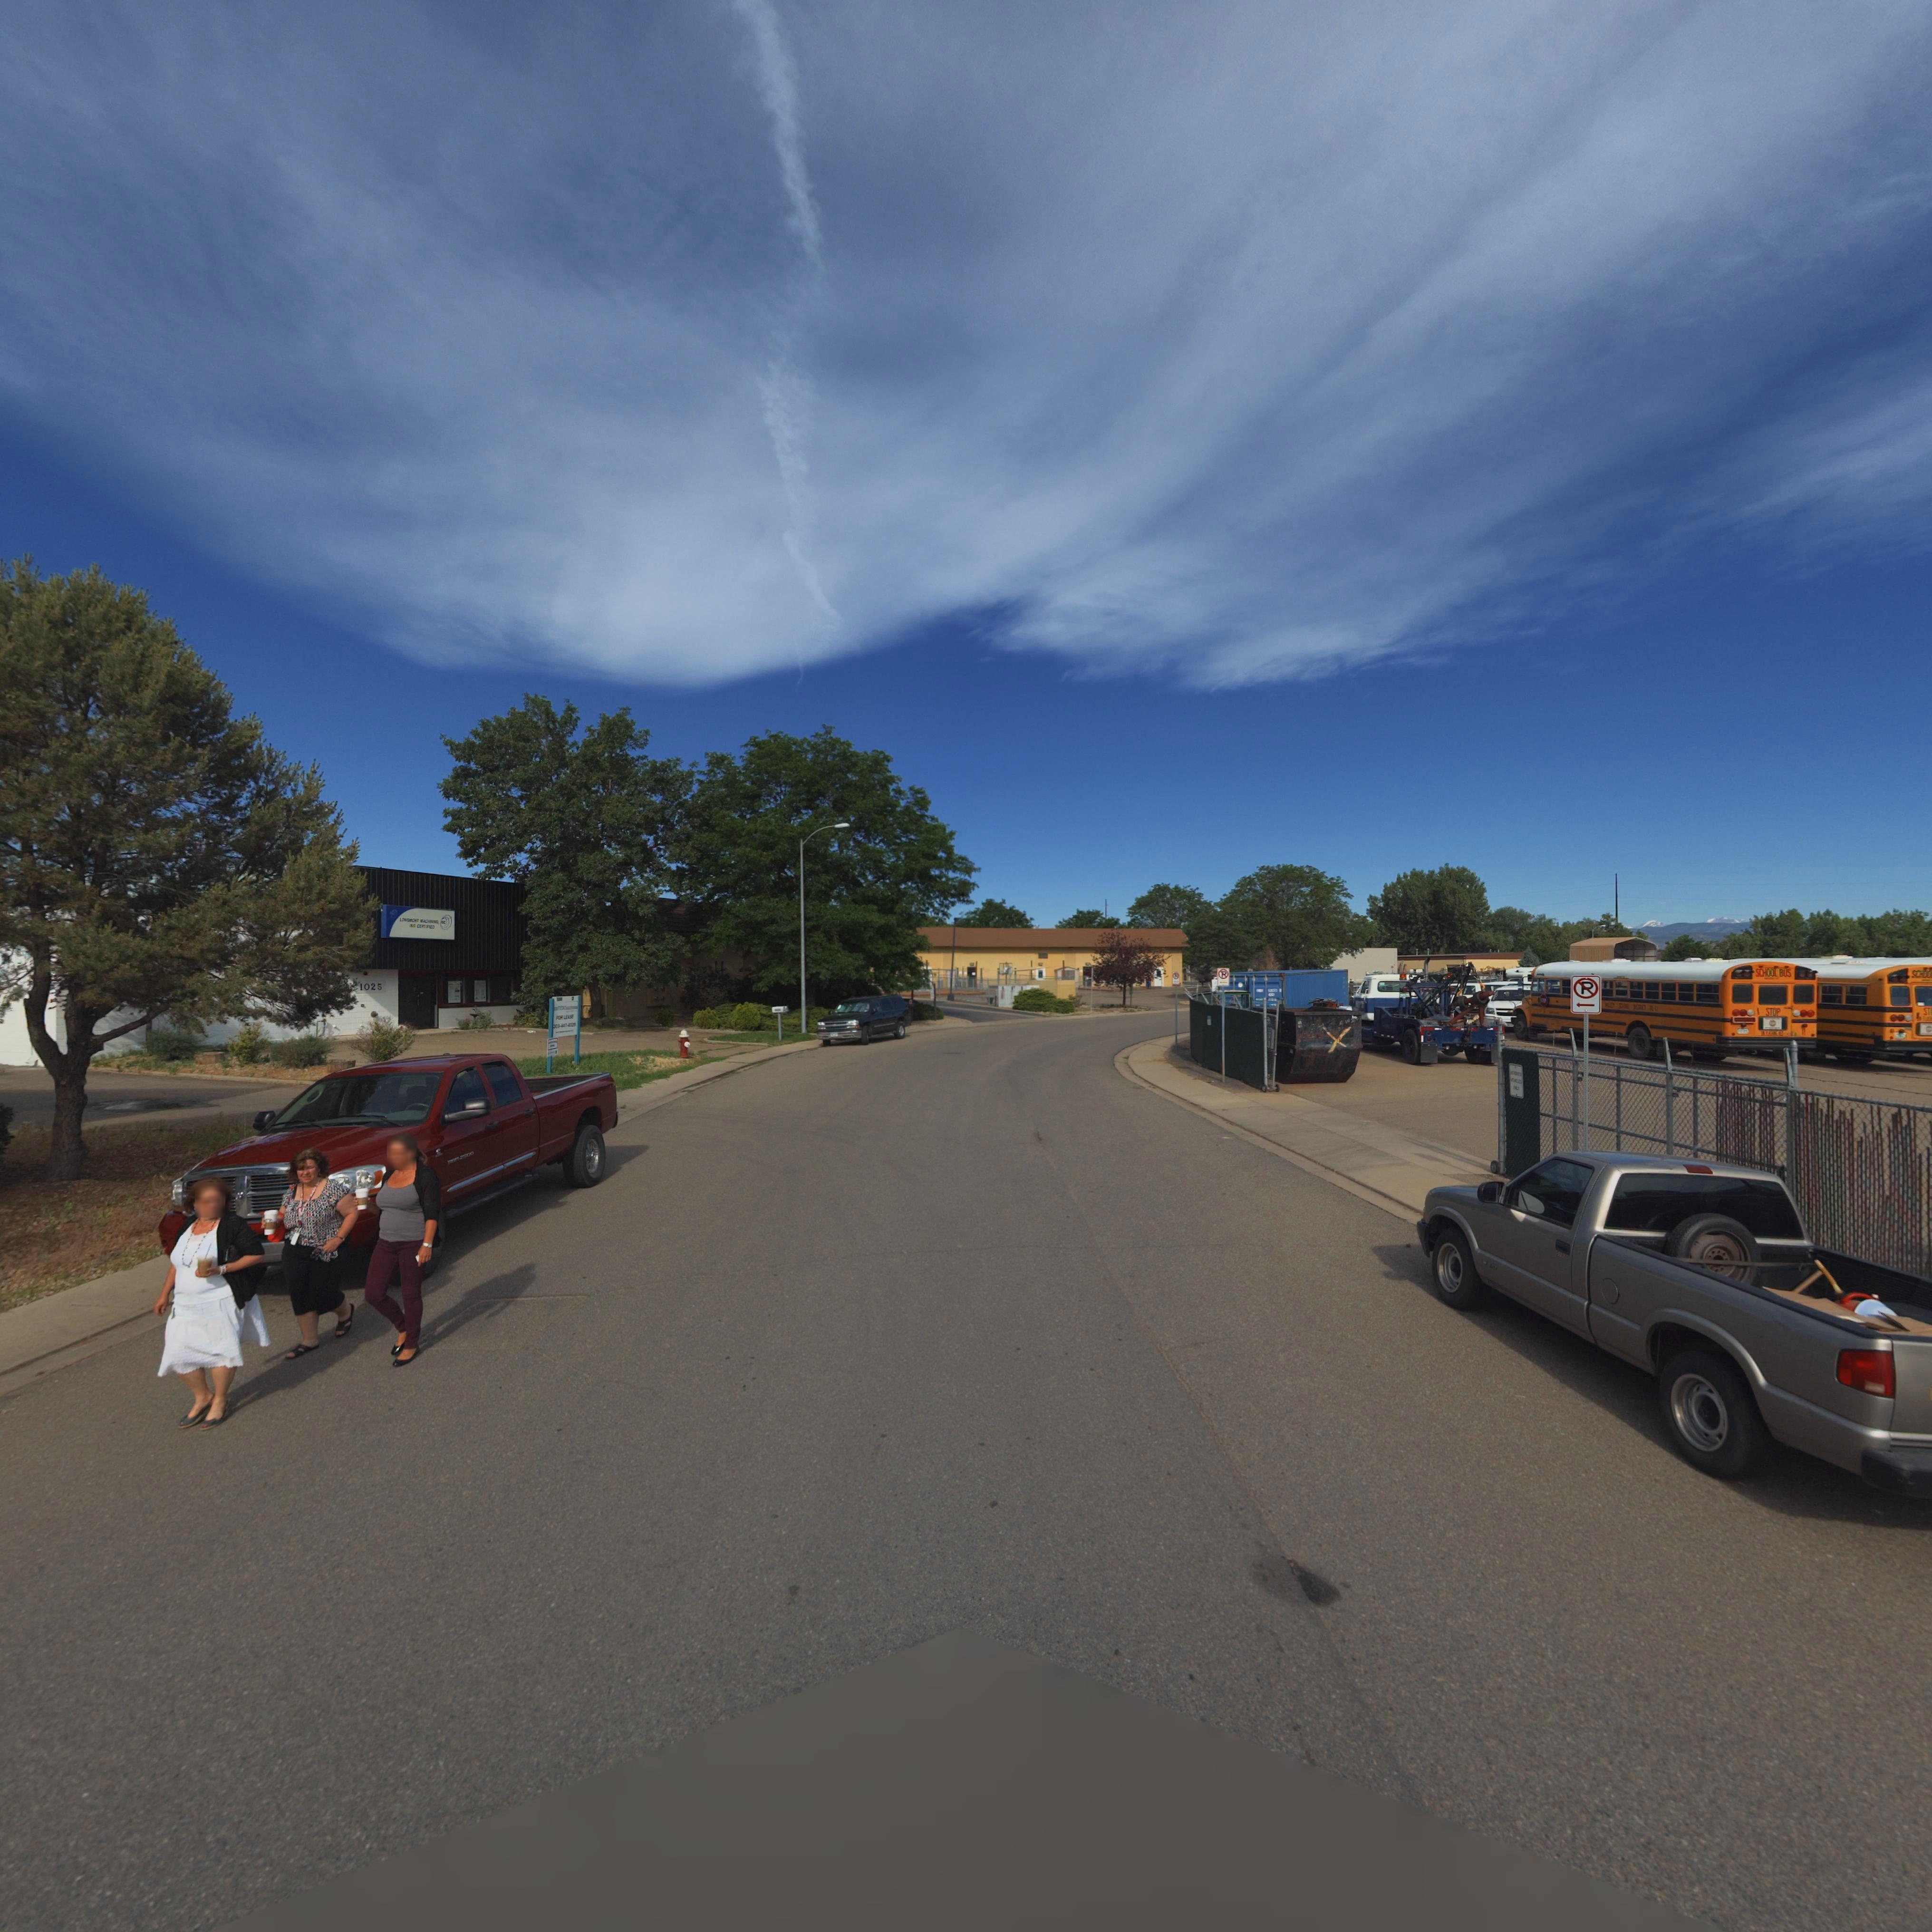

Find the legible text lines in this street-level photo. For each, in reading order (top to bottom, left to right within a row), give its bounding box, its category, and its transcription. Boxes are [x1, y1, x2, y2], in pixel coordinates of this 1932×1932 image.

[399, 917, 438, 924] BusinessName: LO*G***T WAC****
[409, 924, 435, 928] BusinessName: ILC C*** ****
[360, 983, 382, 990] StreetNumber: 1025